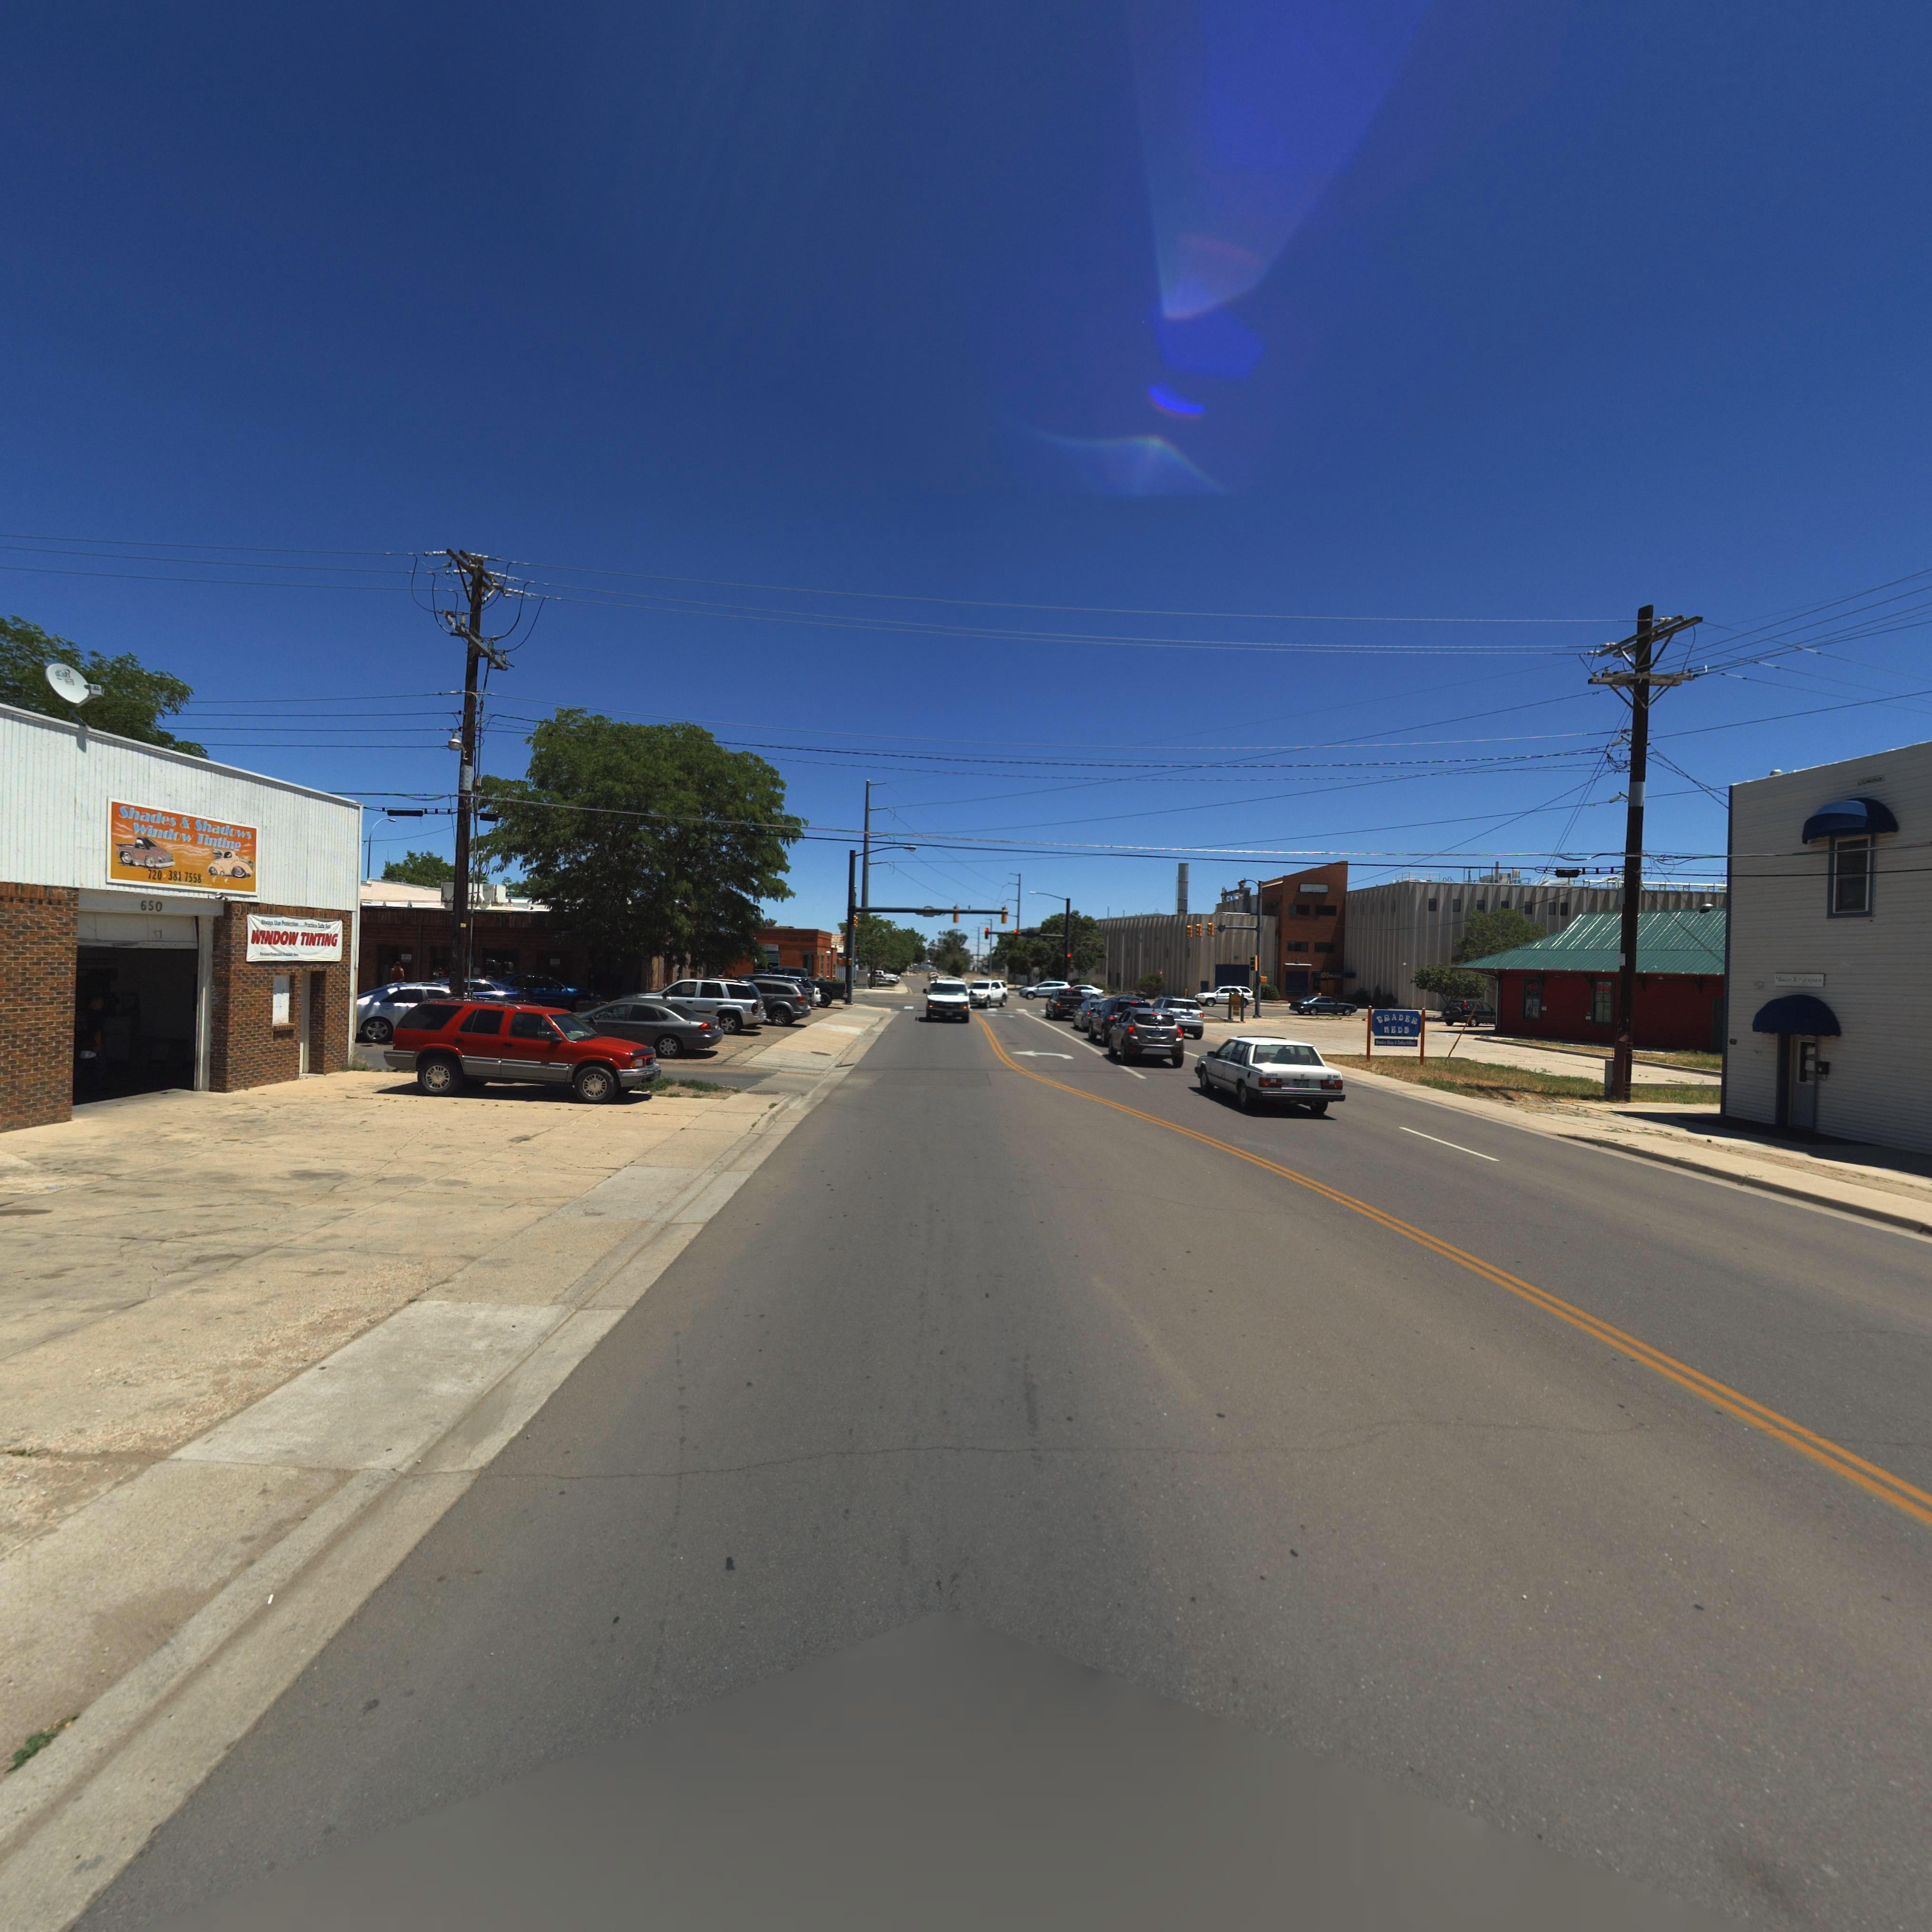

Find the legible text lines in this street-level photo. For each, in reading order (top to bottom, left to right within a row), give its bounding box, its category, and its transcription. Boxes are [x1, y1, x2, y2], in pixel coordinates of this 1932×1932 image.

[118, 804, 252, 840] BusinessName: Shades & Shadows
[140, 899, 163, 912] StreetNumber: 650
[1320, 971, 1329, 978] StreetNumber: 150
[1375, 1013, 1418, 1024] BusinessName: TRADER
[1383, 1026, 1409, 1034] BusinessName: nEDS
[1729, 1037, 1737, 1045] StreetNumber: 611